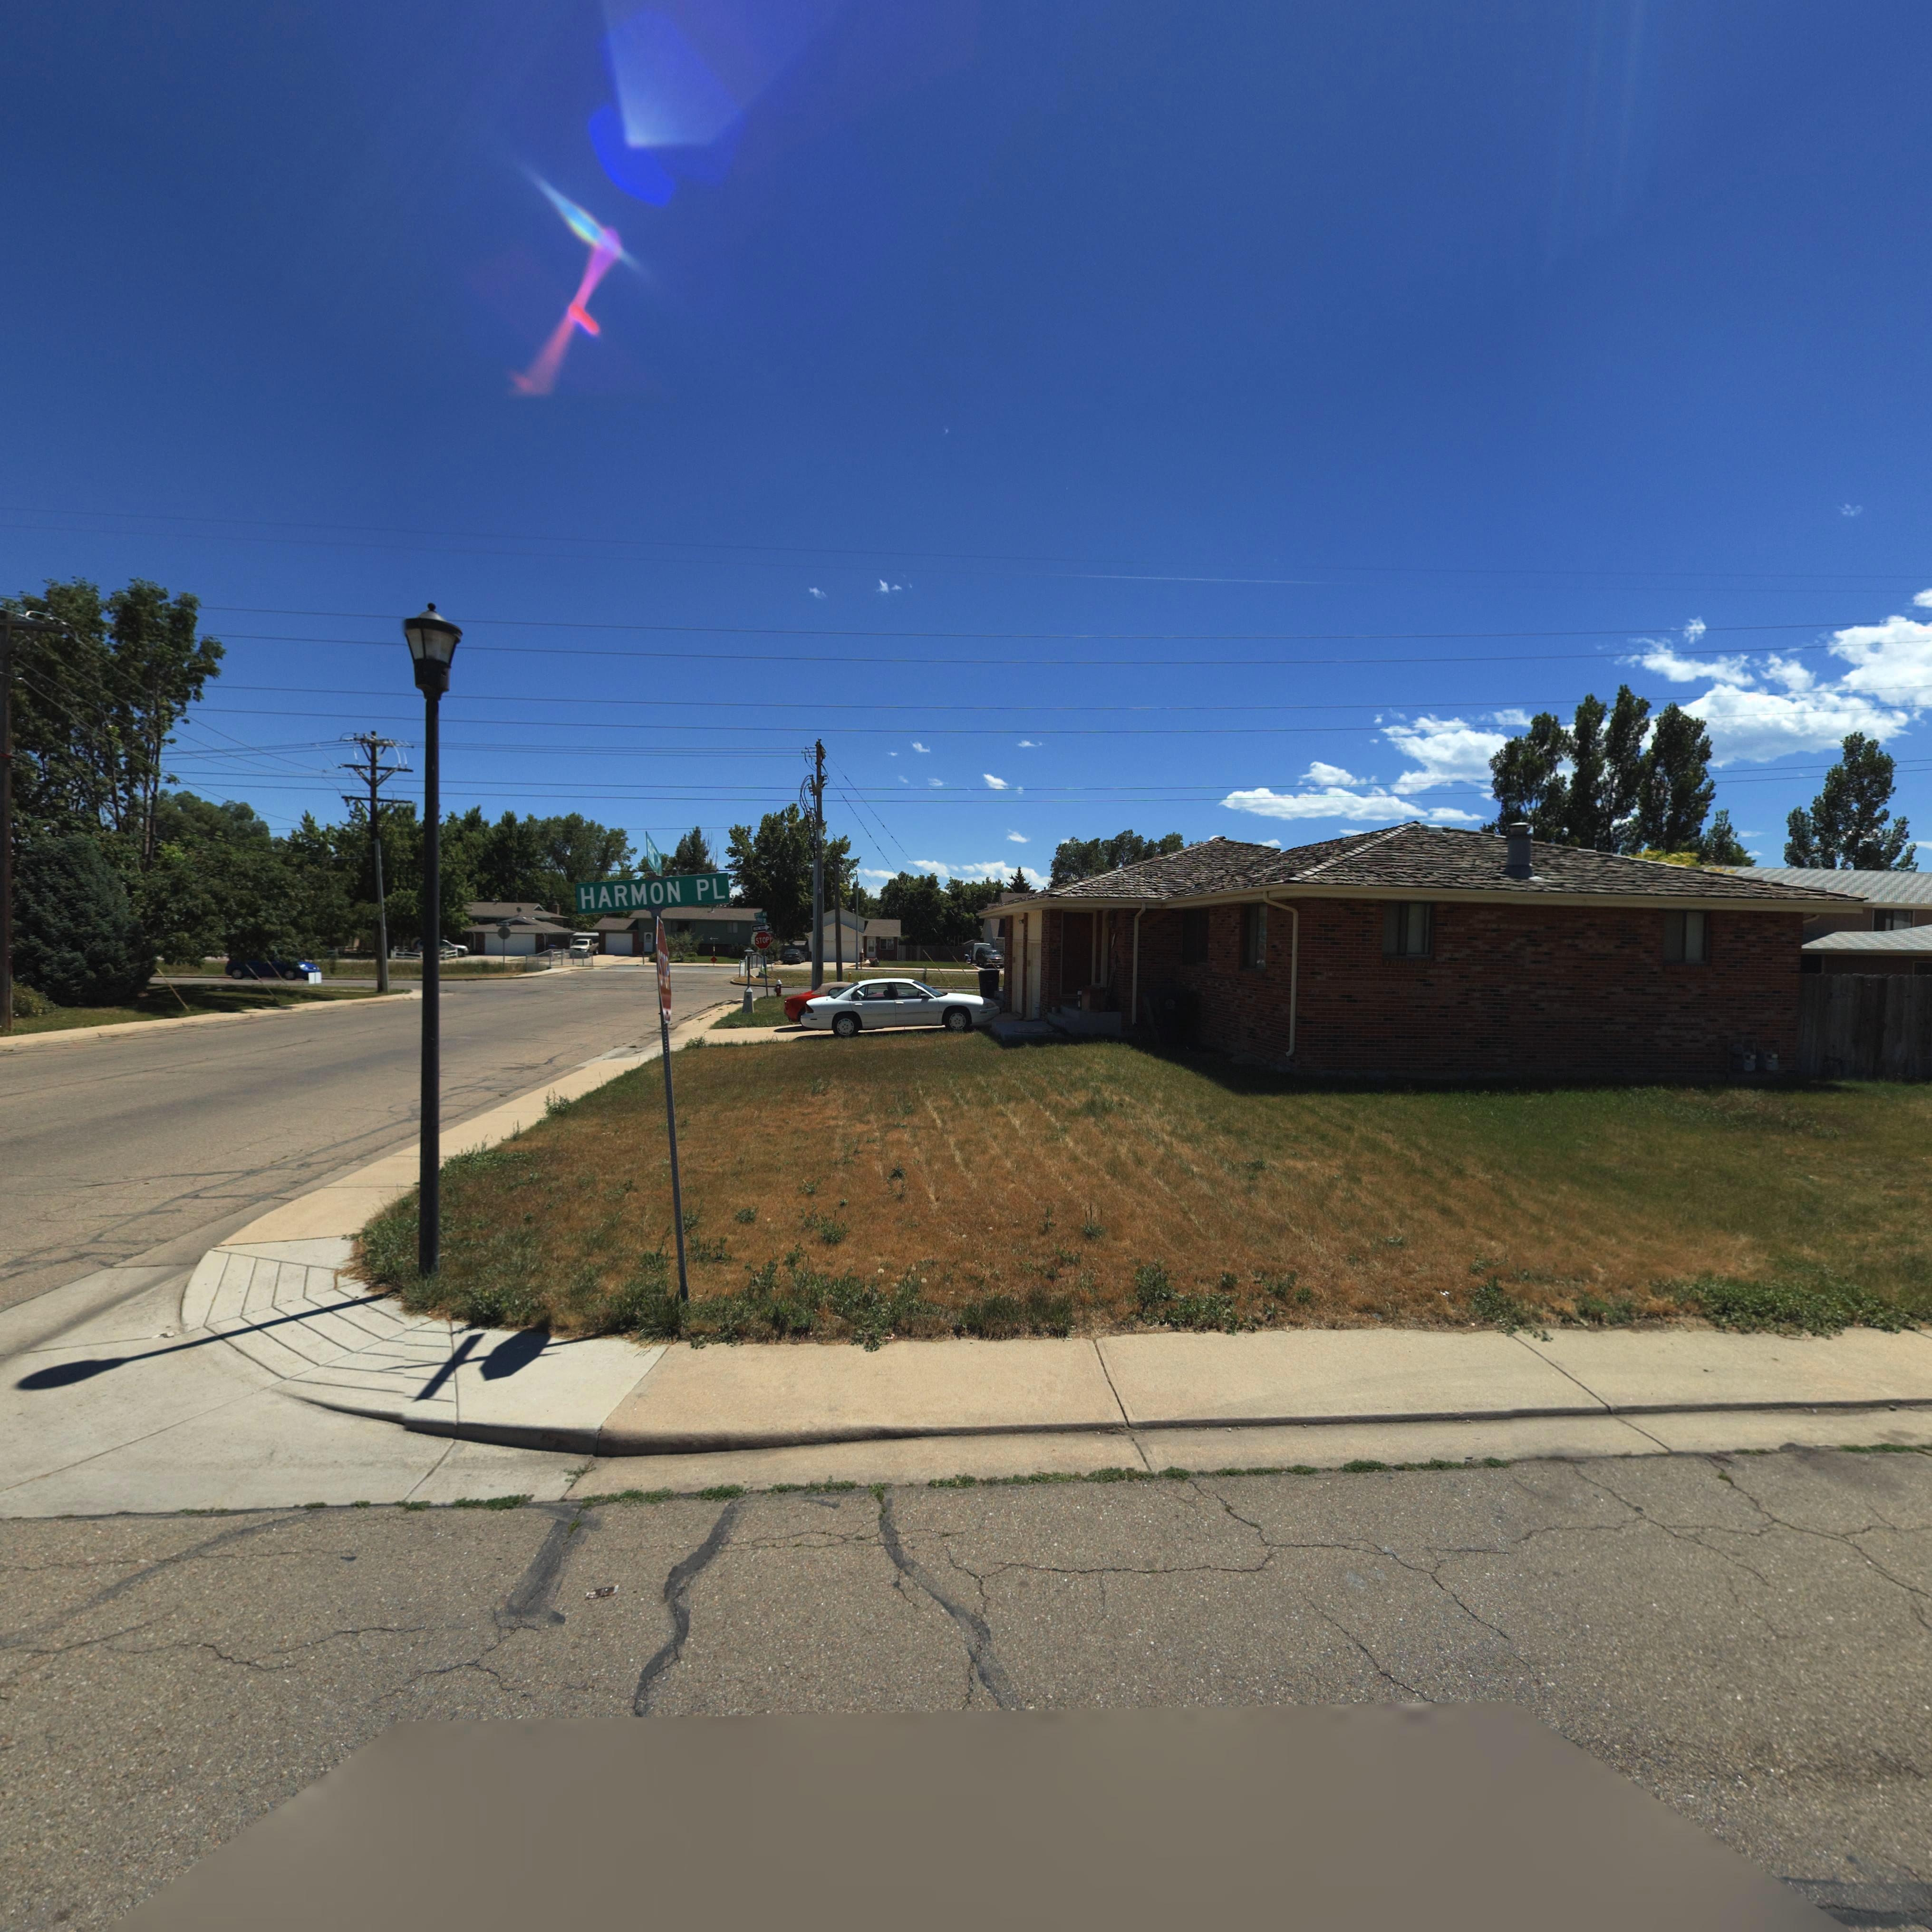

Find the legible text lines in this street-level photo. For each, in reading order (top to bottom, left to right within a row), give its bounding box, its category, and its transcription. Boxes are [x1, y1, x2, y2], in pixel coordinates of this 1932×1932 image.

[647, 837, 662, 876] StreetName: P**** **
[579, 877, 727, 911] StreetName: HARMON PL
[754, 911, 767, 918] StreetName: *1** *V